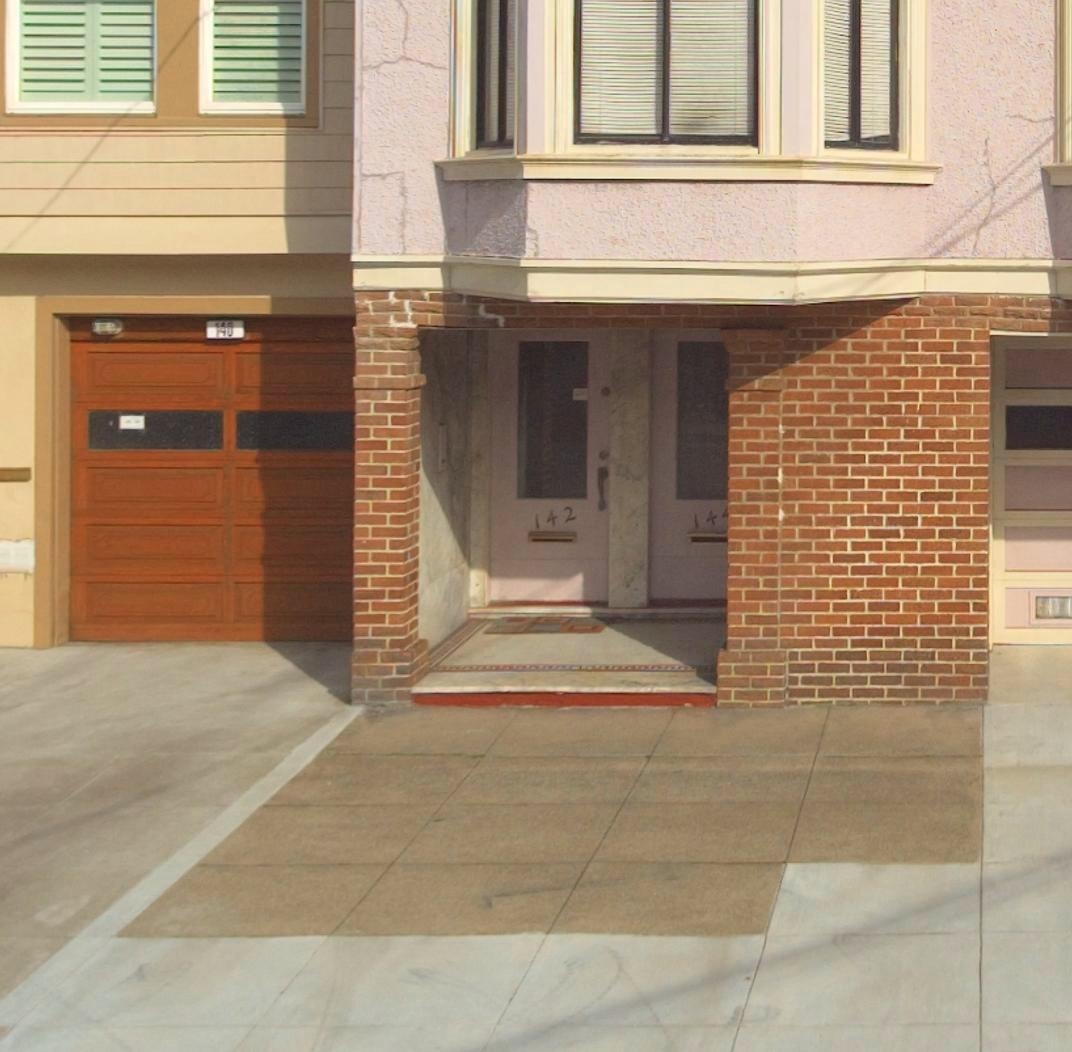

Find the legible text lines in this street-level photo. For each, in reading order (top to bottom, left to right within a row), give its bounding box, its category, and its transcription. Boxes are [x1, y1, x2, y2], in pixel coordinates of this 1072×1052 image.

[213, 319, 235, 339] StreetNumber: 140
[532, 504, 581, 534] StreetNumber: 142
[691, 507, 720, 532] StreetNumber: 14